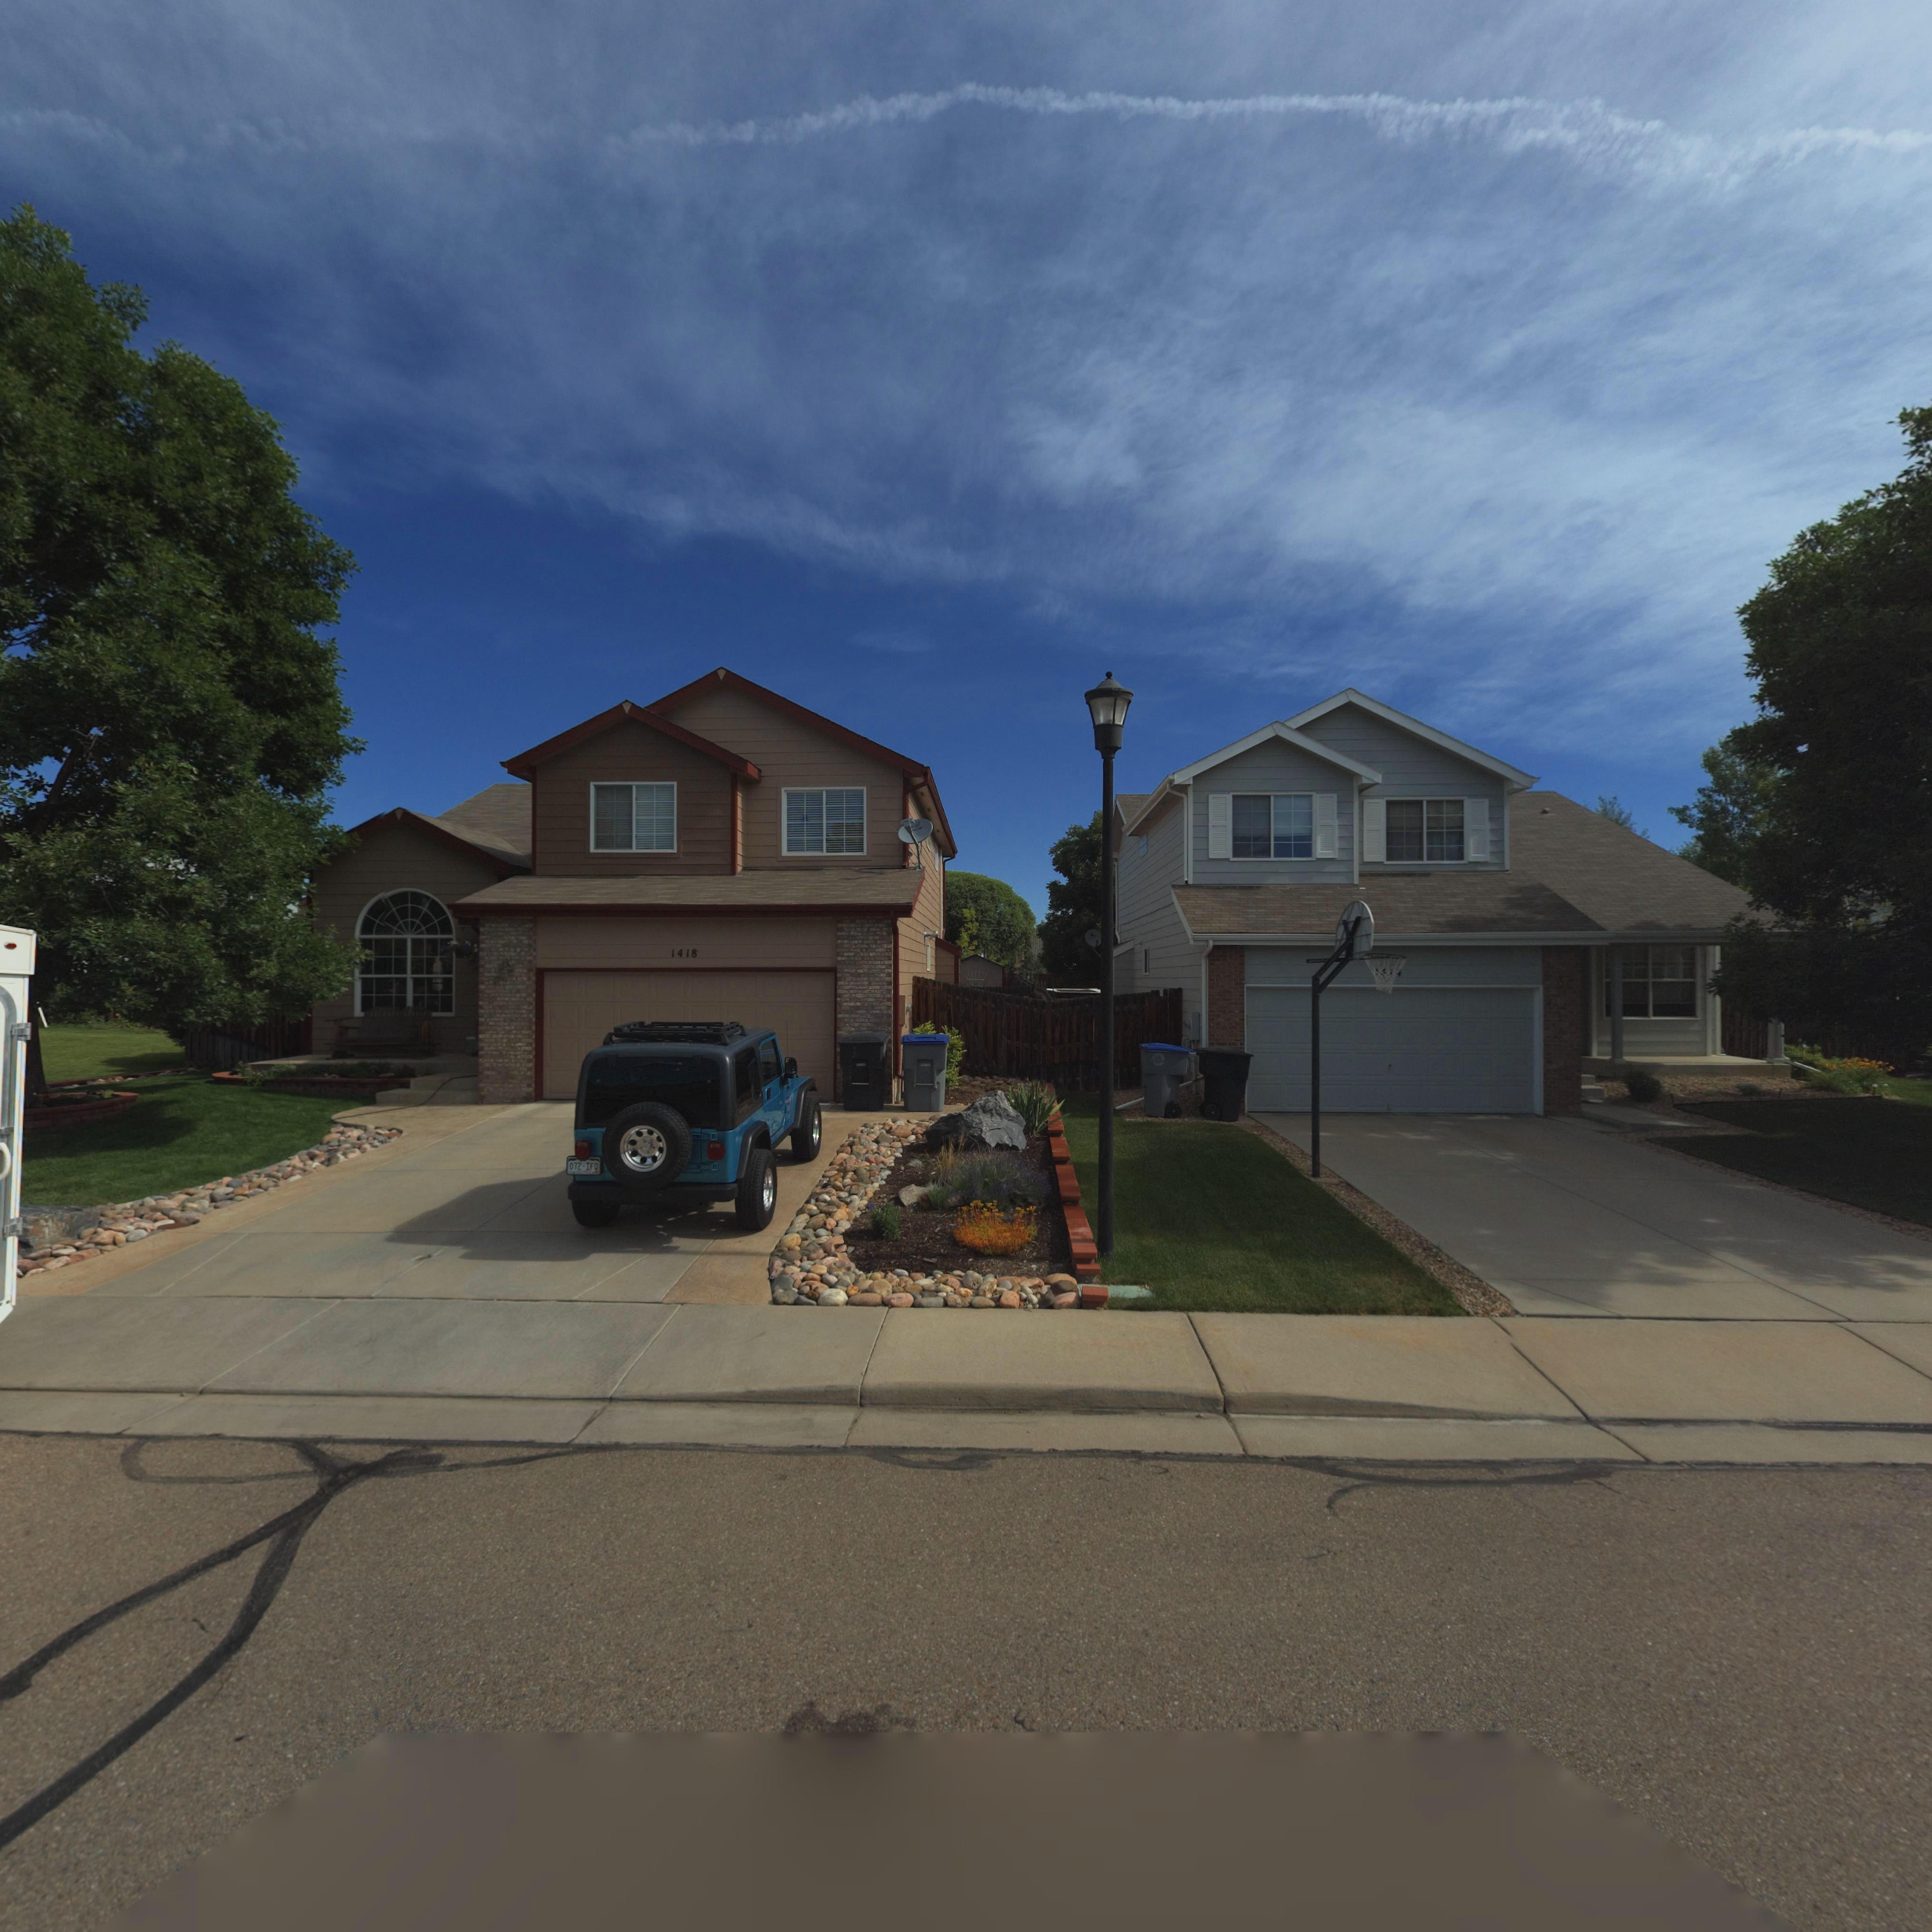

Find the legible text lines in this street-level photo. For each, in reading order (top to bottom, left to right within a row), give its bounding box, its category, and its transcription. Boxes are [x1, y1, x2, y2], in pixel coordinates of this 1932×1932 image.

[671, 948, 697, 957] StreetNumber: 1418